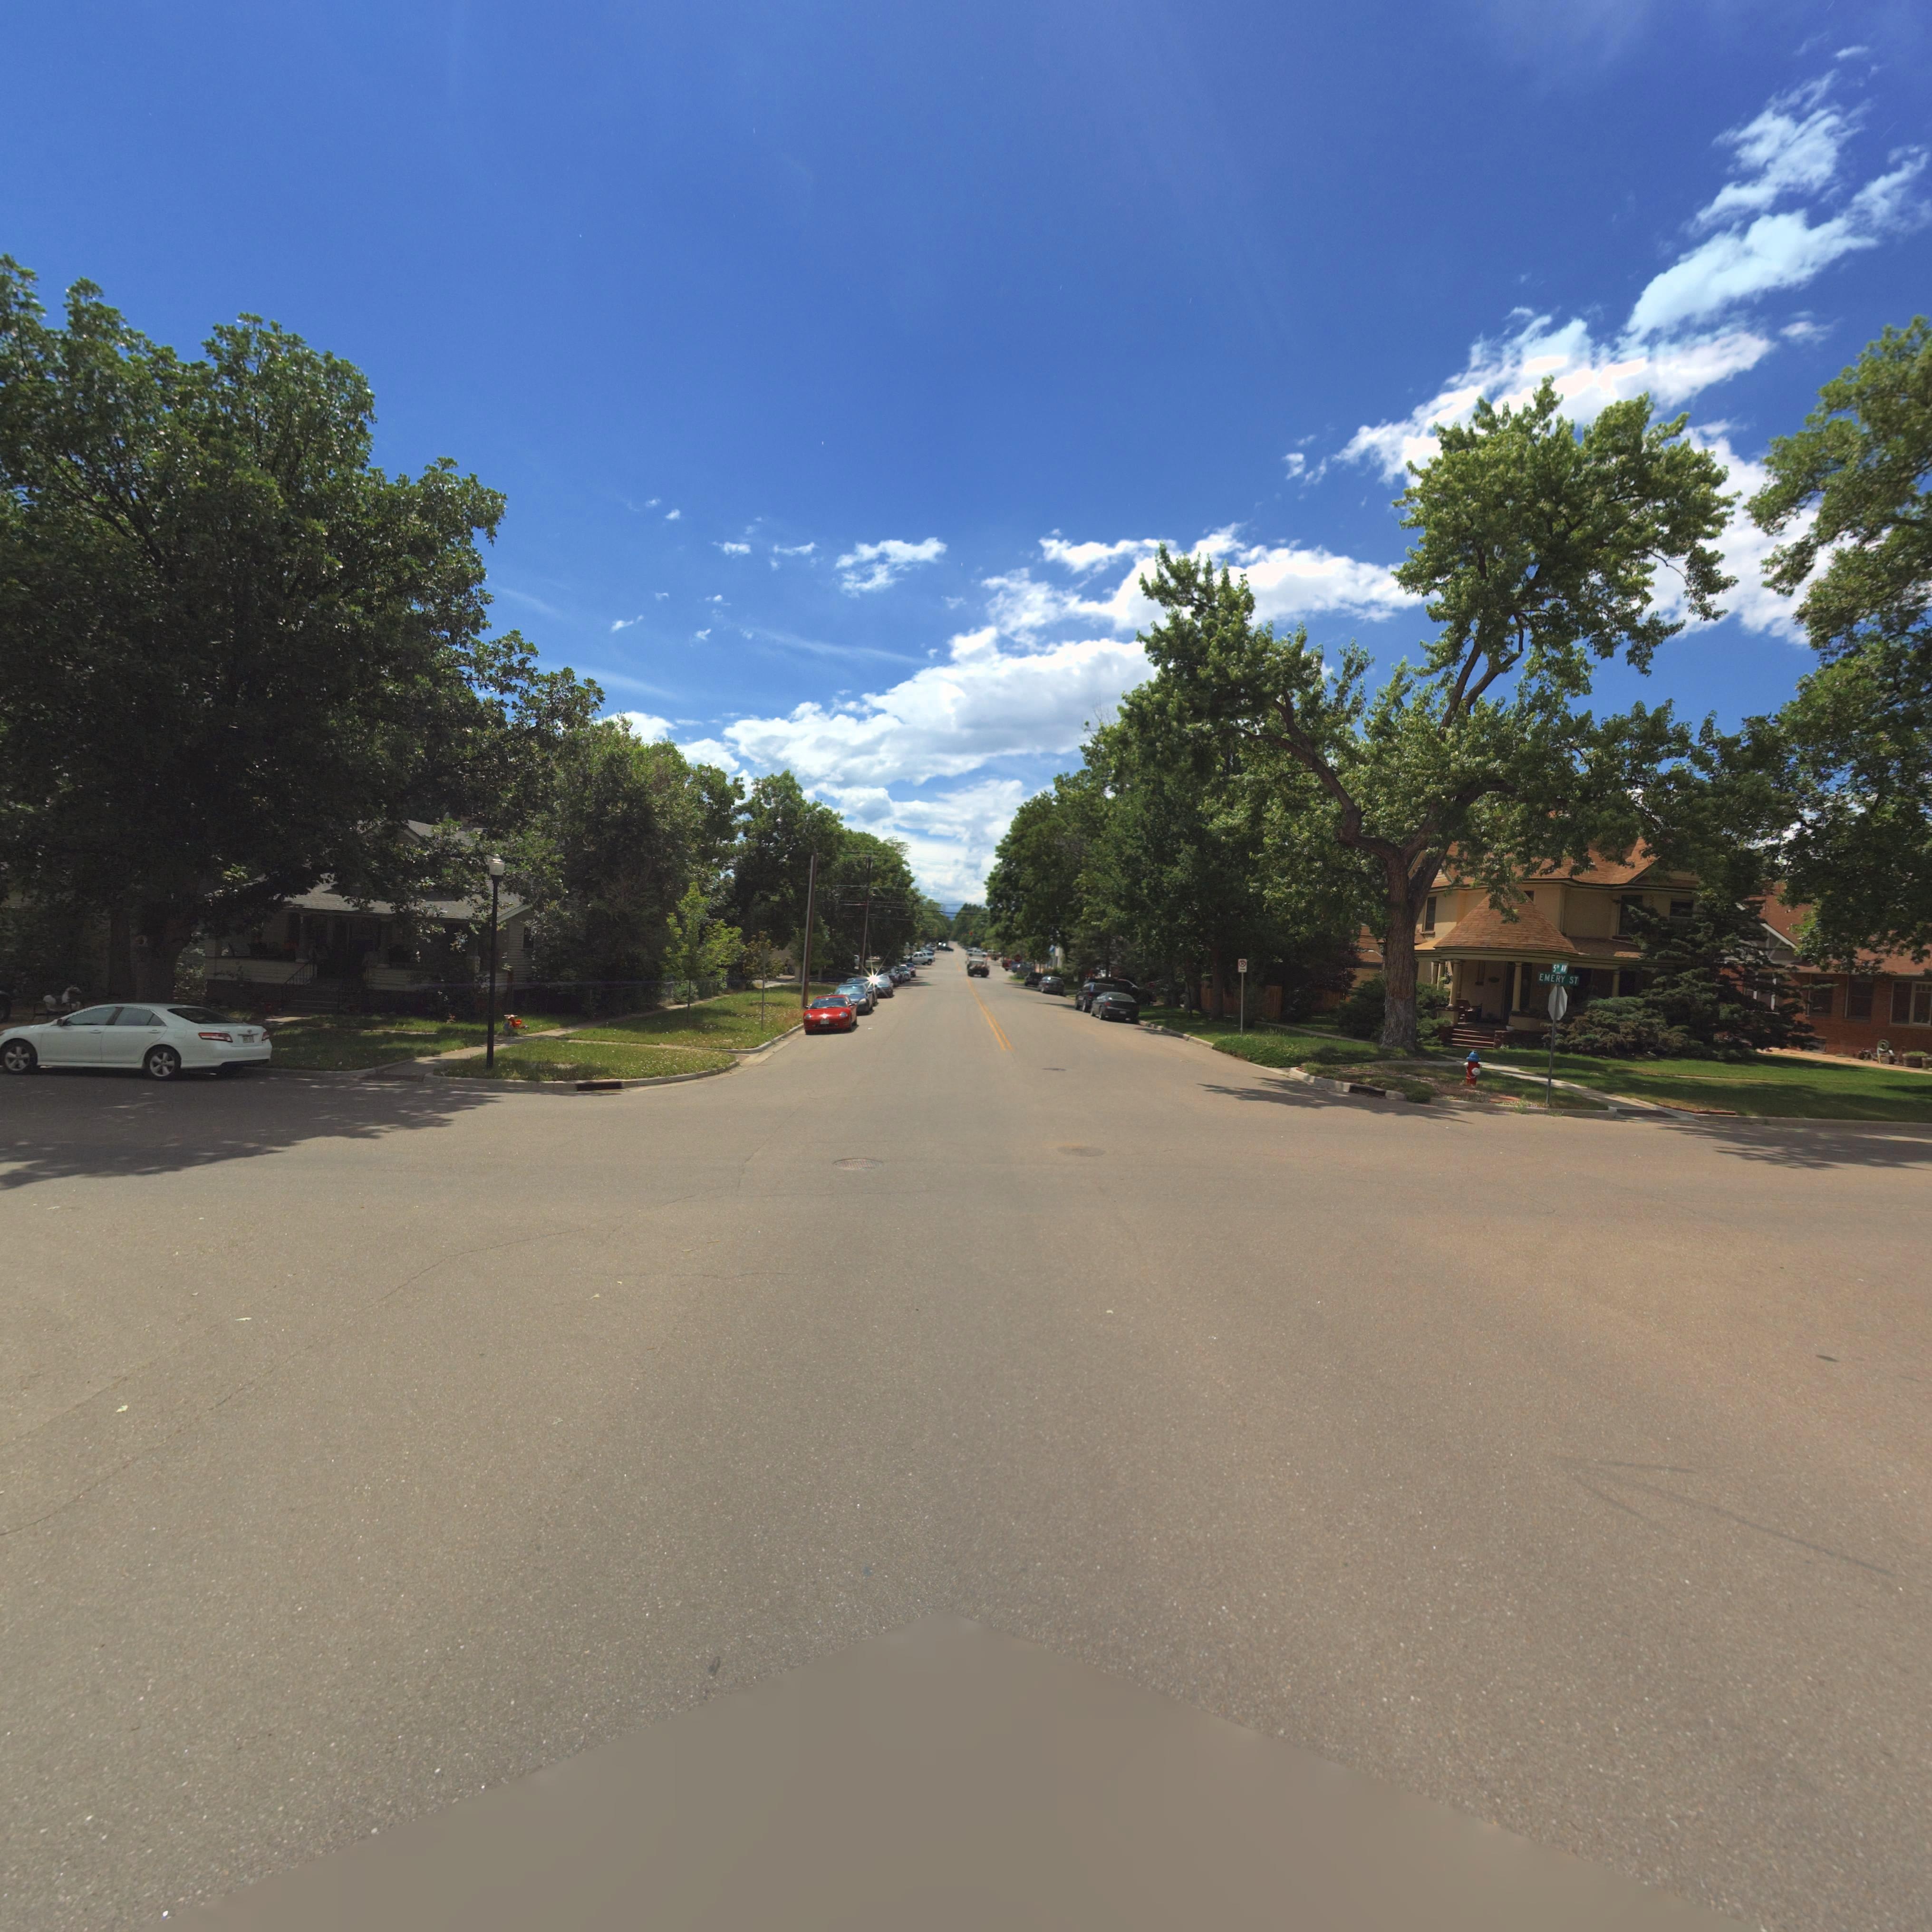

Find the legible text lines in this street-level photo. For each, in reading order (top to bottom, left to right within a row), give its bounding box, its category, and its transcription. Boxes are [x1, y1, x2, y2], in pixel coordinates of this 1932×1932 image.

[1552, 964, 1567, 972] StreetName: 5TH AV
[1539, 973, 1579, 985] StreetName: EMERY ST